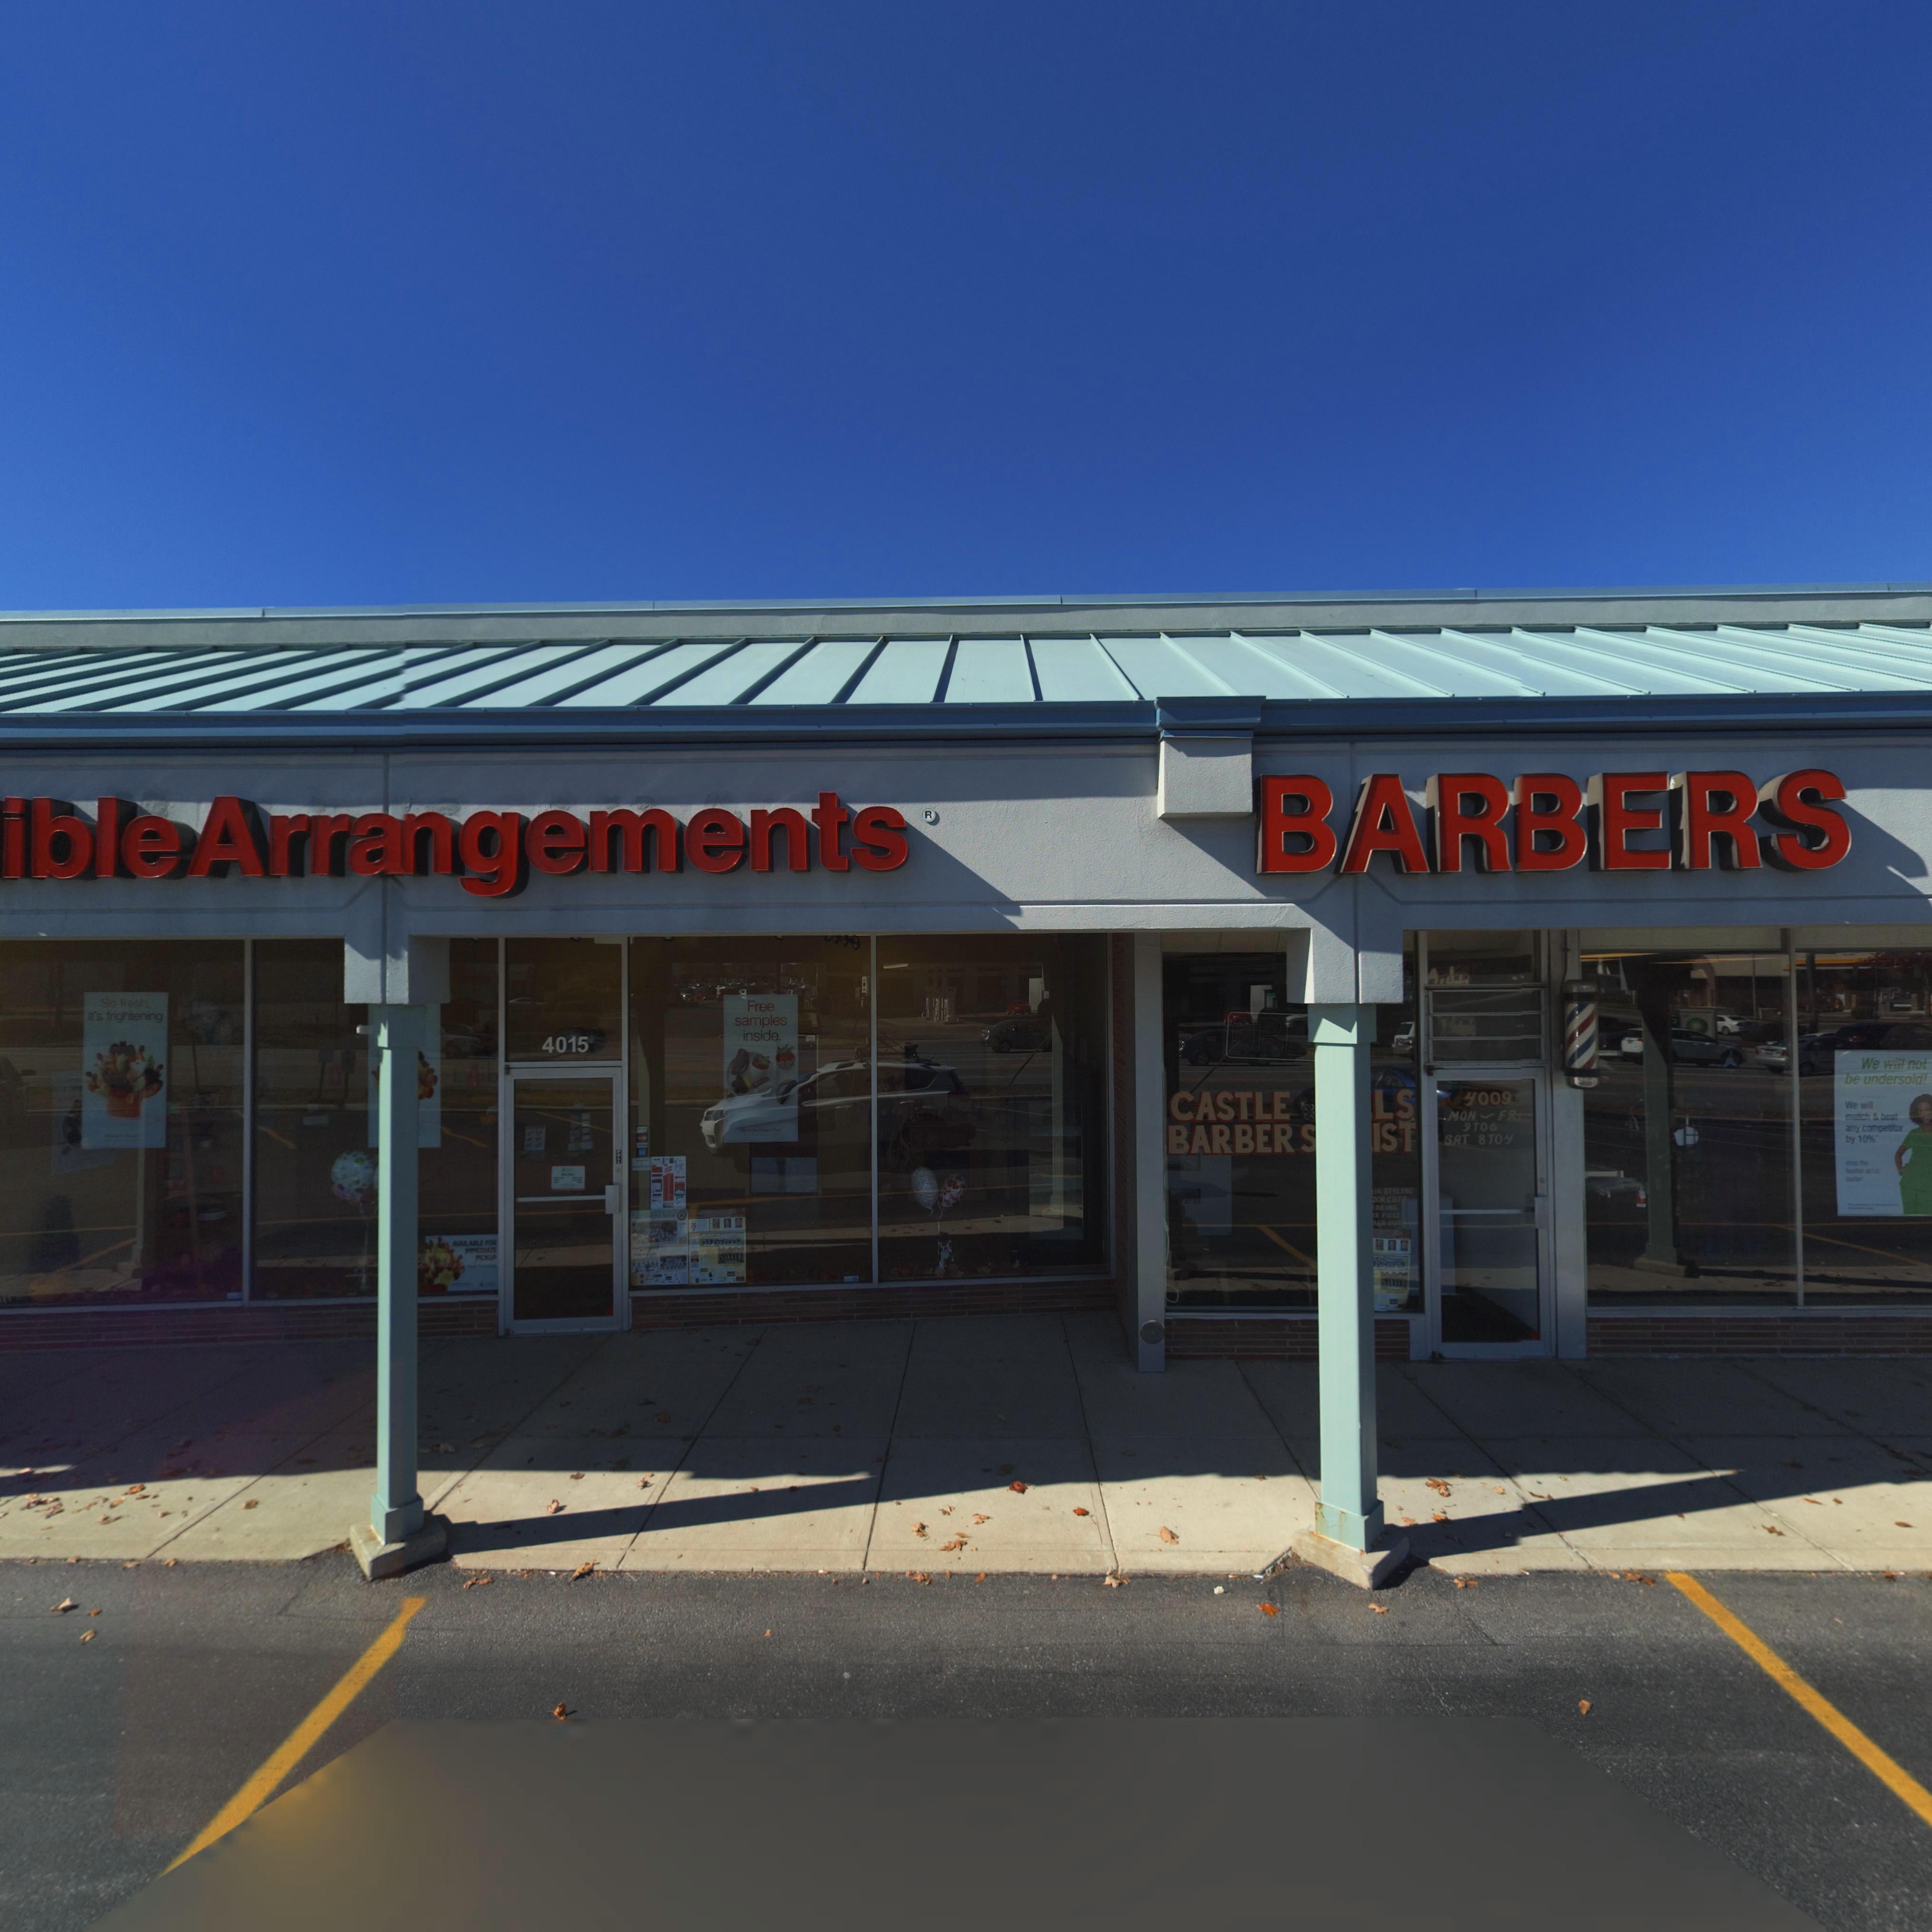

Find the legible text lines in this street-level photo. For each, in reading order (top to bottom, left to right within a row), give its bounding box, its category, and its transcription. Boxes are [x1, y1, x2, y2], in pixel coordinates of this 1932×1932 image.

[1253, 766, 1856, 879] BusinessName: BARBERS
[0, 788, 911, 900] BusinessName: ible Arrangements
[100, 996, 150, 1009] None: So fresh
[746, 999, 775, 1013] None: Free
[86, 1010, 164, 1024] None: It's frightening
[734, 1013, 788, 1029] None: samples
[743, 1029, 782, 1042] None: inside.
[1230, 1014, 1284, 1056] None: OP
[540, 1034, 590, 1054] StreetNumber: 4015
[1860, 1056, 1930, 1071] None: We will not
[1843, 1072, 1930, 1086] None: be understood!
[1167, 1086, 1417, 1123] BusinessName: CASTLE ***LS
[1462, 1091, 1512, 1107] StreetNumber: 4009
[1843, 1100, 1875, 1110] None: We will
[1444, 1108, 1524, 1122] None: MON-FRI
[1844, 1111, 1899, 1121] None: match & beat
[1460, 1121, 1500, 1132] None: 9TO6
[1844, 1123, 1904, 1134] None: any competitor
[1165, 1120, 1419, 1157] BusinessName: BARBER S***IST
[1442, 1132, 1516, 1146] None: SAT 8TO4
[1845, 1134, 1876, 1146] None: by 10%
[1382, 1187, 1415, 1195] None: STYLING
[1372, 1196, 1408, 1204] None: ZOR CUTS
[1375, 1204, 1399, 1211] None: ORING
[1375, 1212, 1401, 1219] None: R PIECE
[451, 1239, 498, 1247] None: AVAILABLE FOR
[464, 1246, 498, 1255] None: IMMEDIATE
[474, 1254, 498, 1261] None: PICKUP